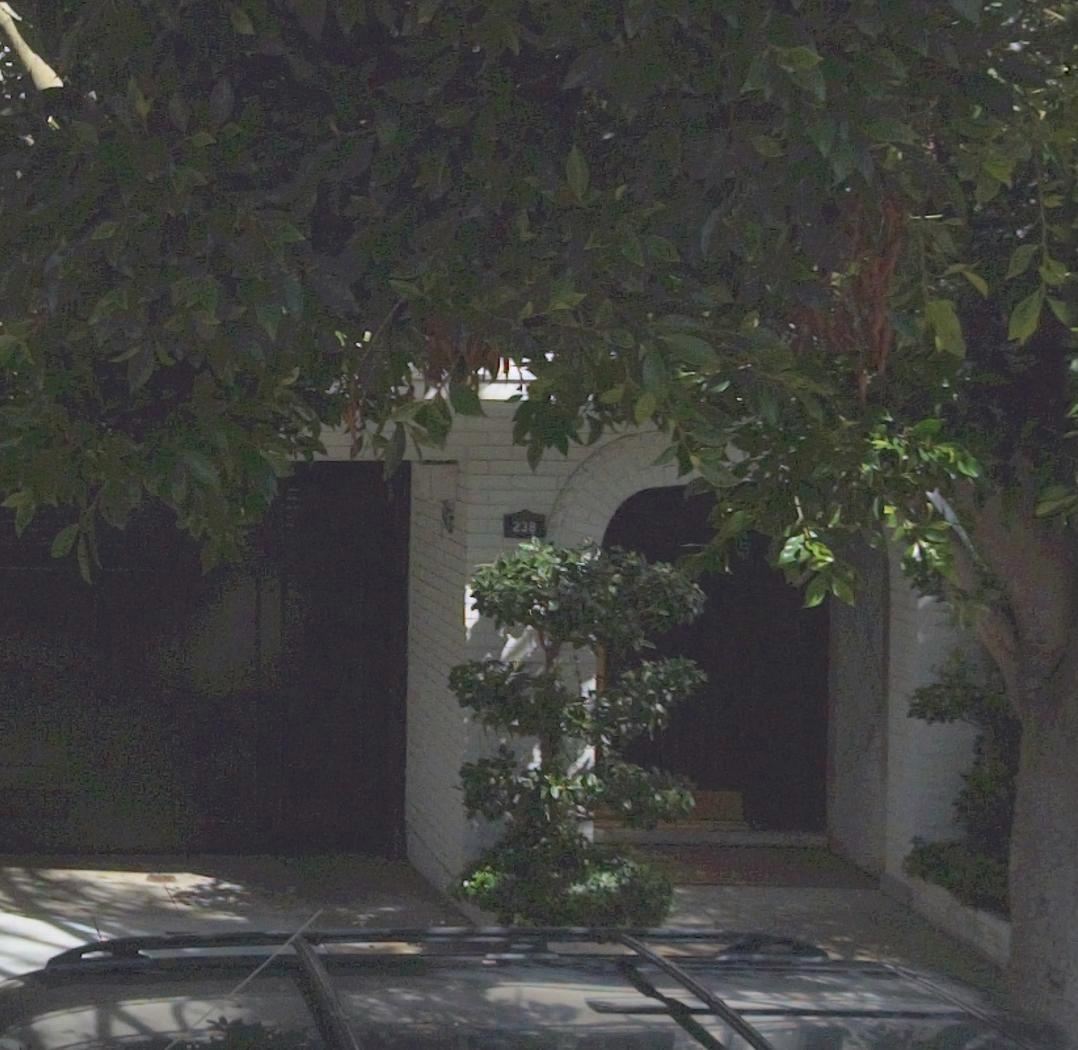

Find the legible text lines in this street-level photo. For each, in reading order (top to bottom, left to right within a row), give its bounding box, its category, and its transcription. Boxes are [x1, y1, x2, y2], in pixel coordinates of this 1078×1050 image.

[510, 519, 539, 534] StreetNumber: 238